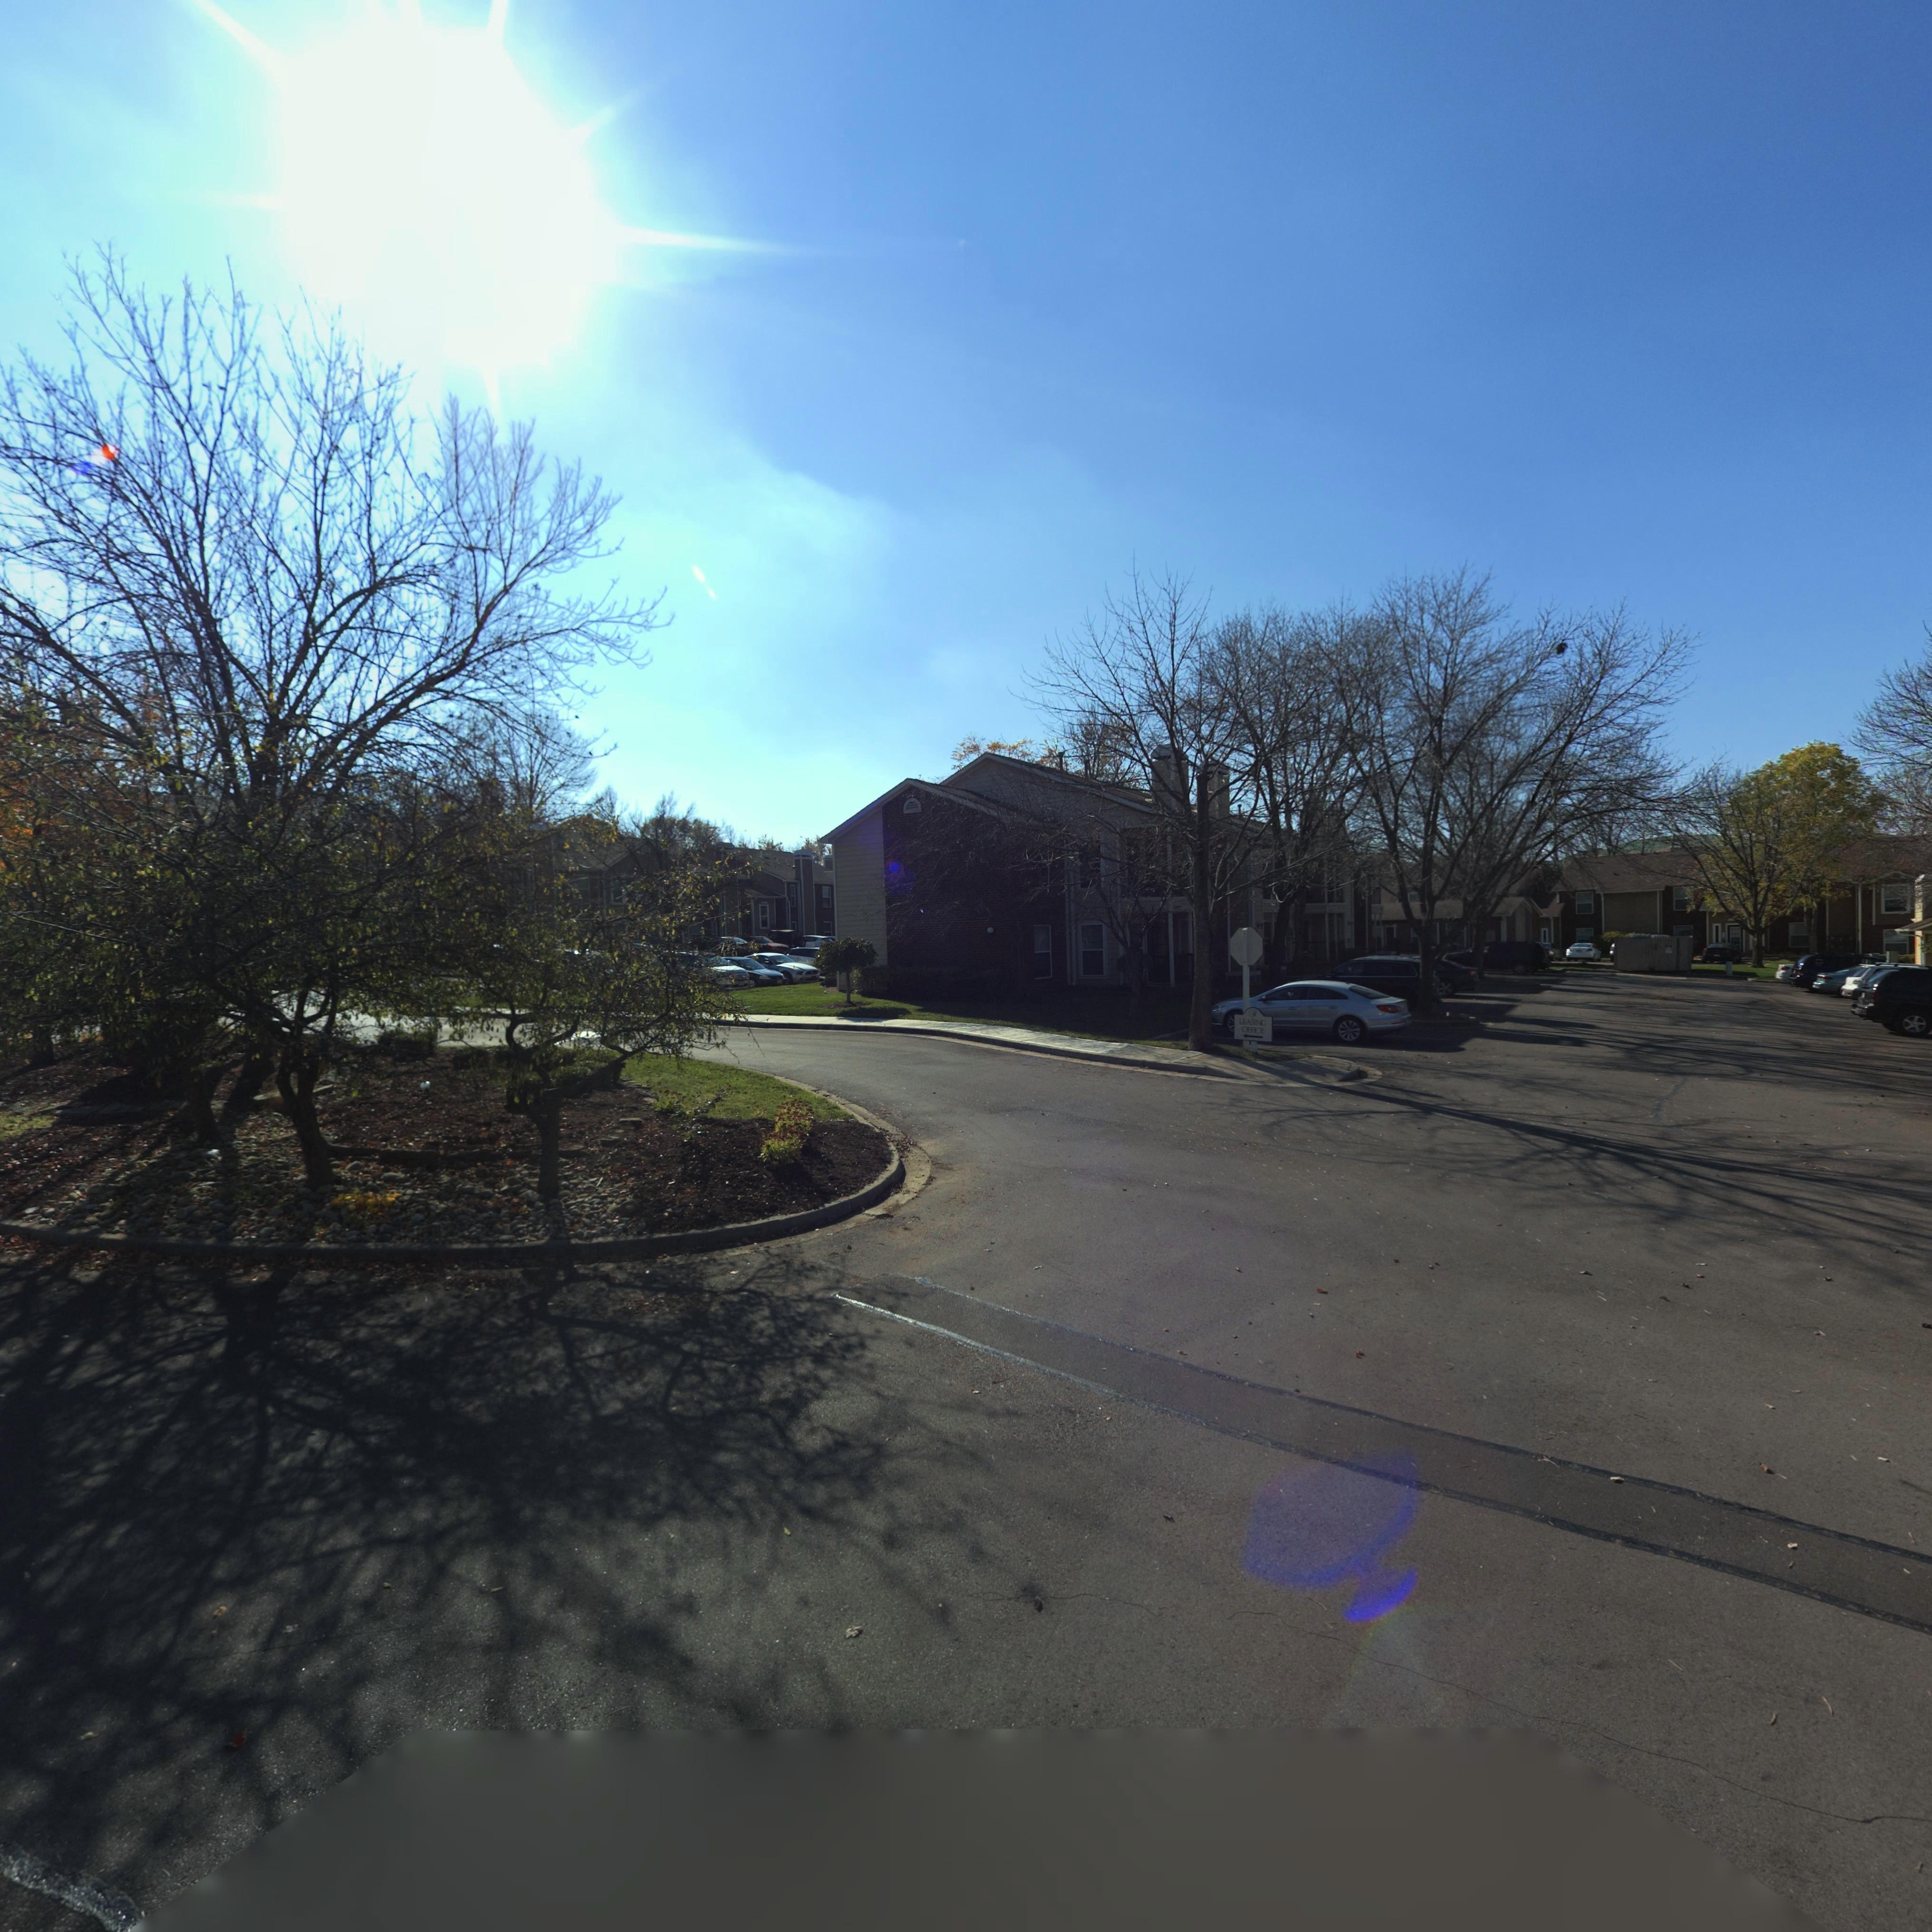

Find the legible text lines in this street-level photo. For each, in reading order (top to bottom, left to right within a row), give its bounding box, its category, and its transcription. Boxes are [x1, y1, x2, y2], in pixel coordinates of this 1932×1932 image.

[1237, 1016, 1268, 1028] None: LEASING
[1240, 1025, 1266, 1035] None: OFFICE